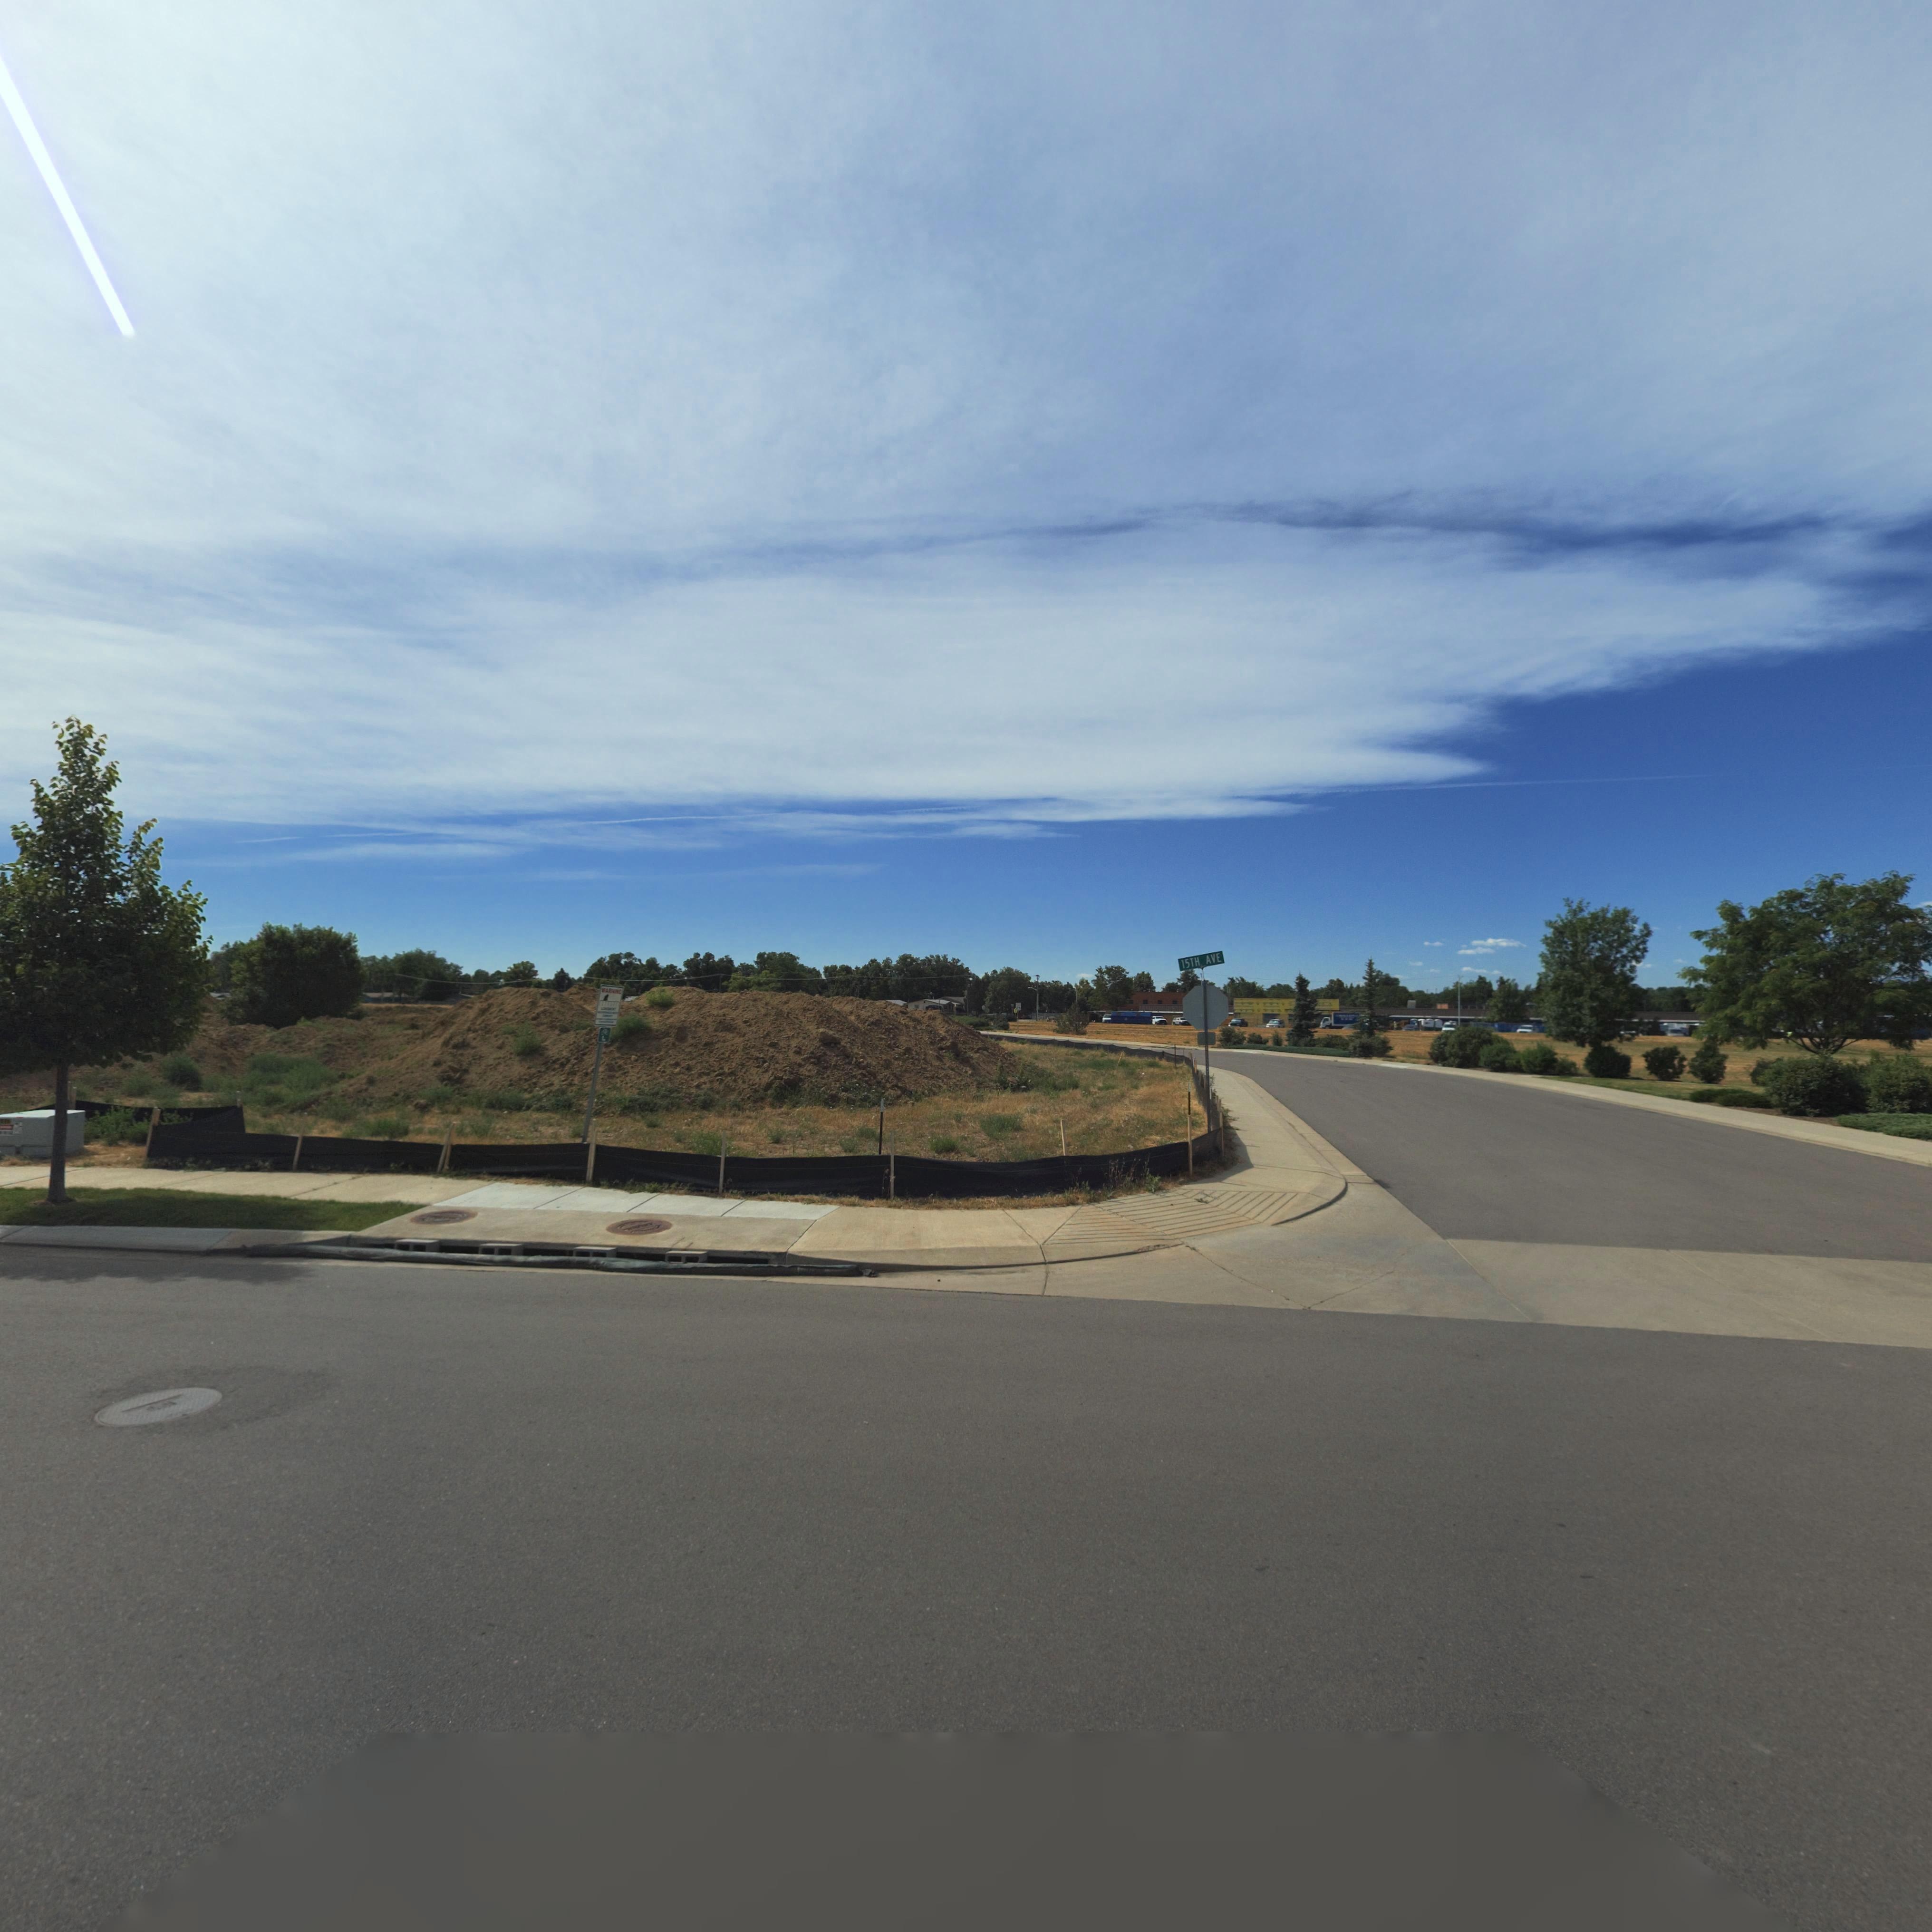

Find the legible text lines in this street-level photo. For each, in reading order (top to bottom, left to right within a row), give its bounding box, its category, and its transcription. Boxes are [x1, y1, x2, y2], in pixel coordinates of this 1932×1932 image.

[1180, 952, 1222, 969] StreetName: 15TH AVE